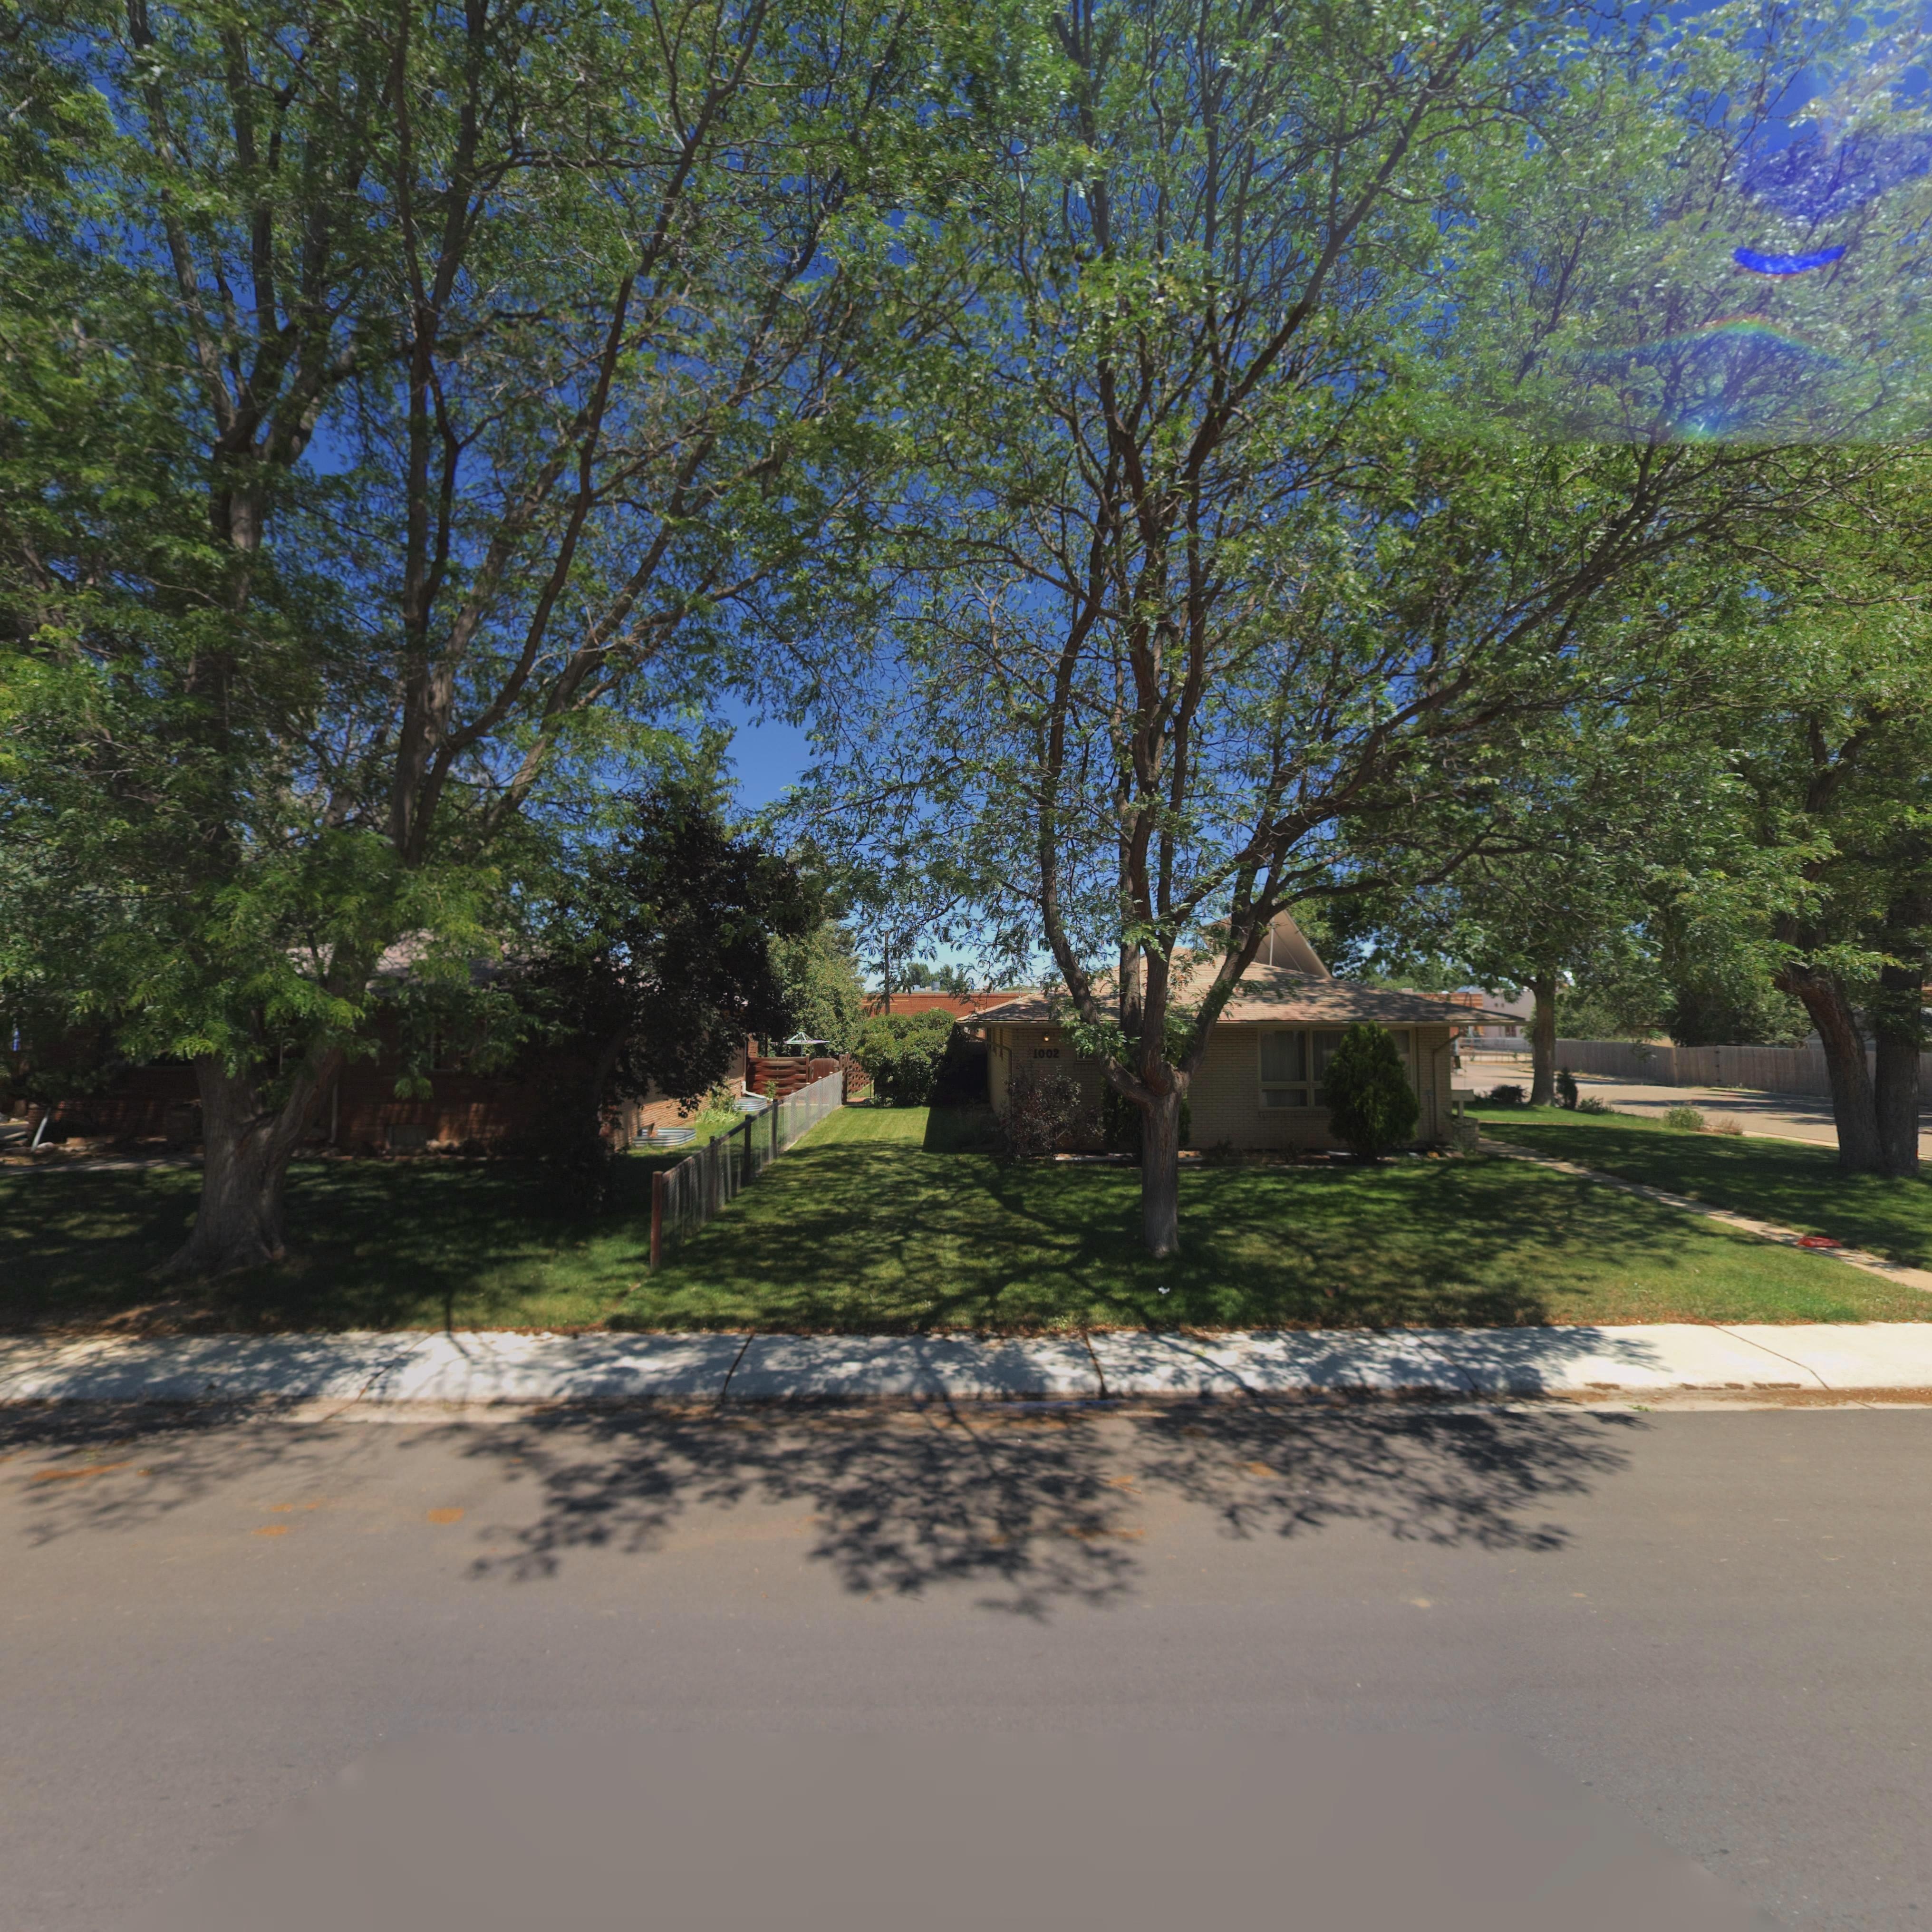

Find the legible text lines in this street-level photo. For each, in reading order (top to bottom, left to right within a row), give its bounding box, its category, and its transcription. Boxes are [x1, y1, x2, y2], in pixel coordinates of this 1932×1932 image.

[1033, 1048, 1059, 1058] StreetNumber: 1002